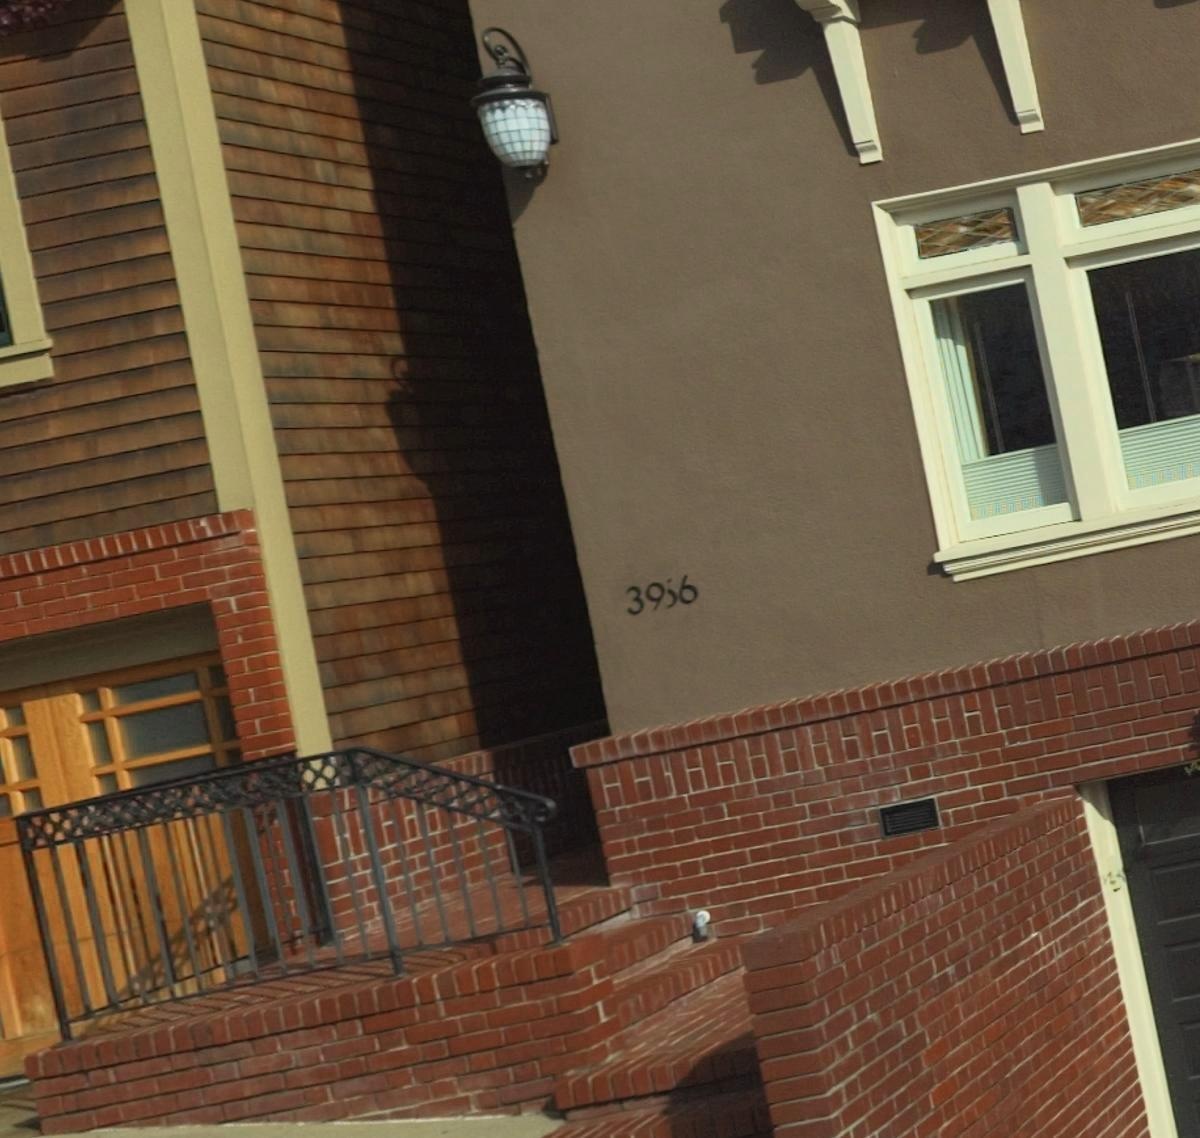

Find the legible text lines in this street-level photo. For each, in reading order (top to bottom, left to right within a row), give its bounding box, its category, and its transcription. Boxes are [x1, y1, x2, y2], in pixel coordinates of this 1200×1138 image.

[624, 568, 703, 621] StreetNumber: 3956